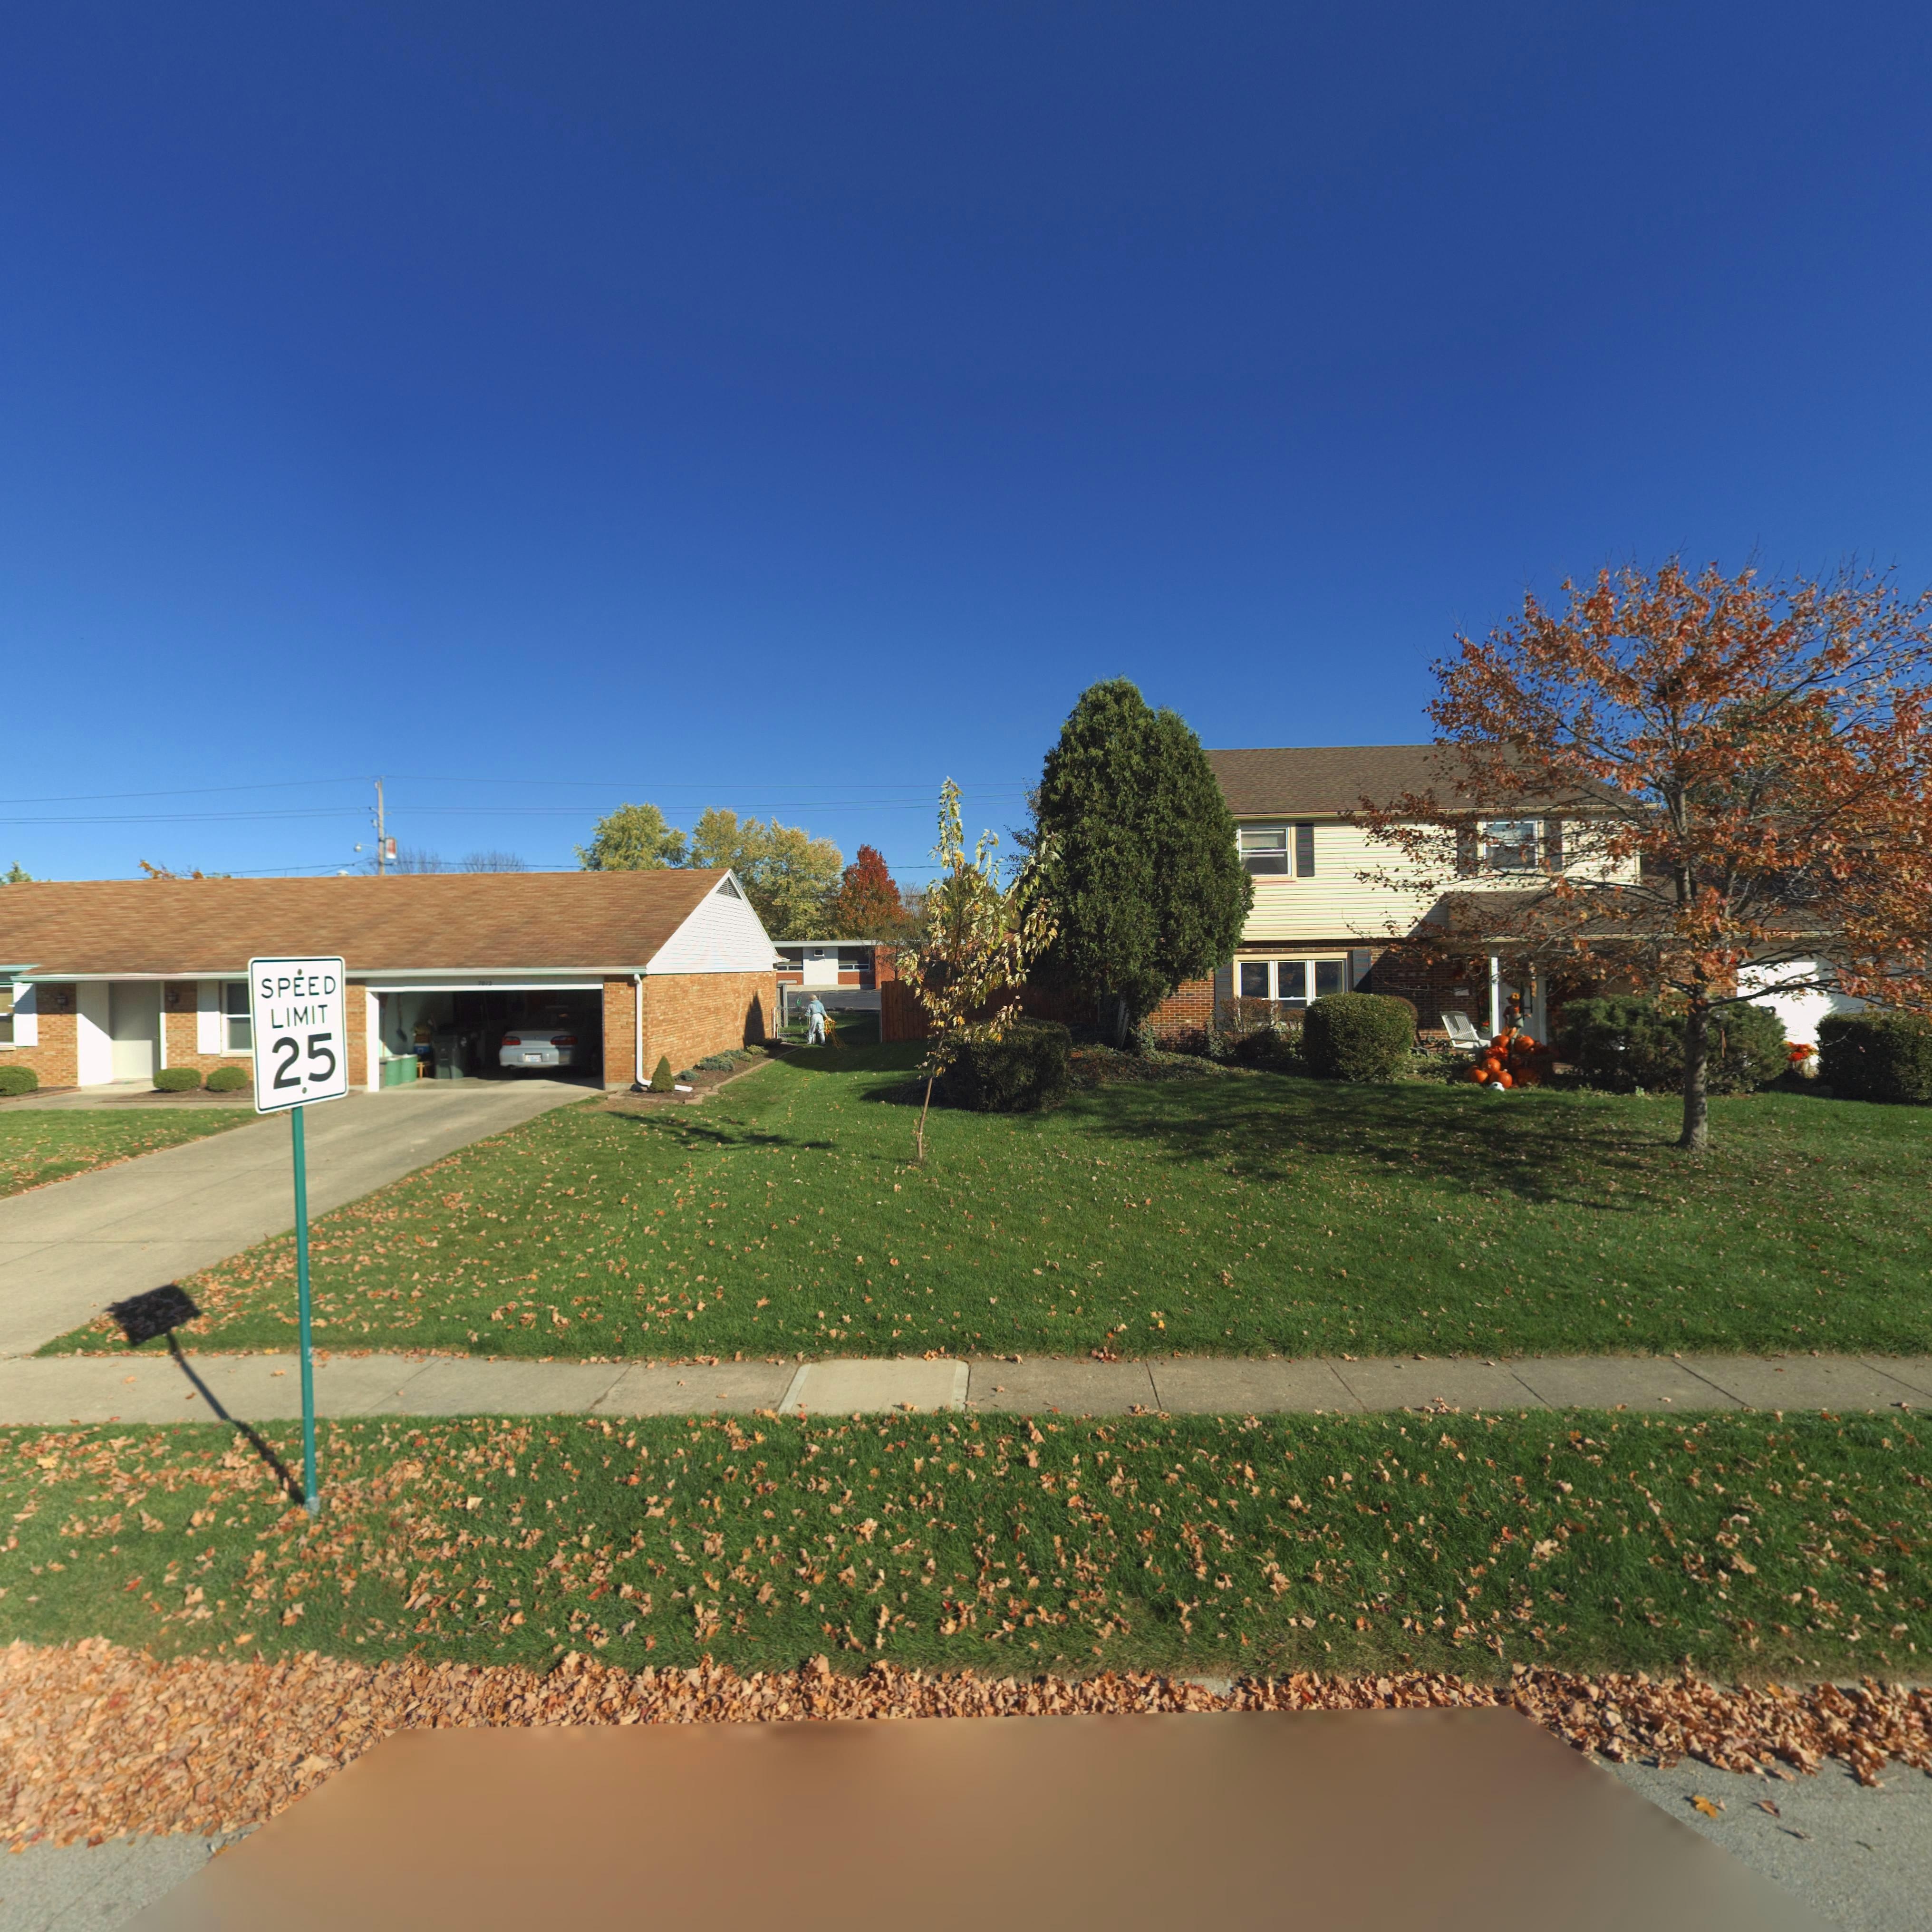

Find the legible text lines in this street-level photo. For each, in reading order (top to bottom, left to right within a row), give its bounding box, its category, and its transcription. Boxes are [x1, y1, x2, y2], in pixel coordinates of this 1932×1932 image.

[259, 975, 338, 1000] None: SPEED
[478, 980, 493, 985] StreetNumber: 7012
[269, 1003, 329, 1030] None: LIMIT
[270, 1030, 337, 1091] None: 25